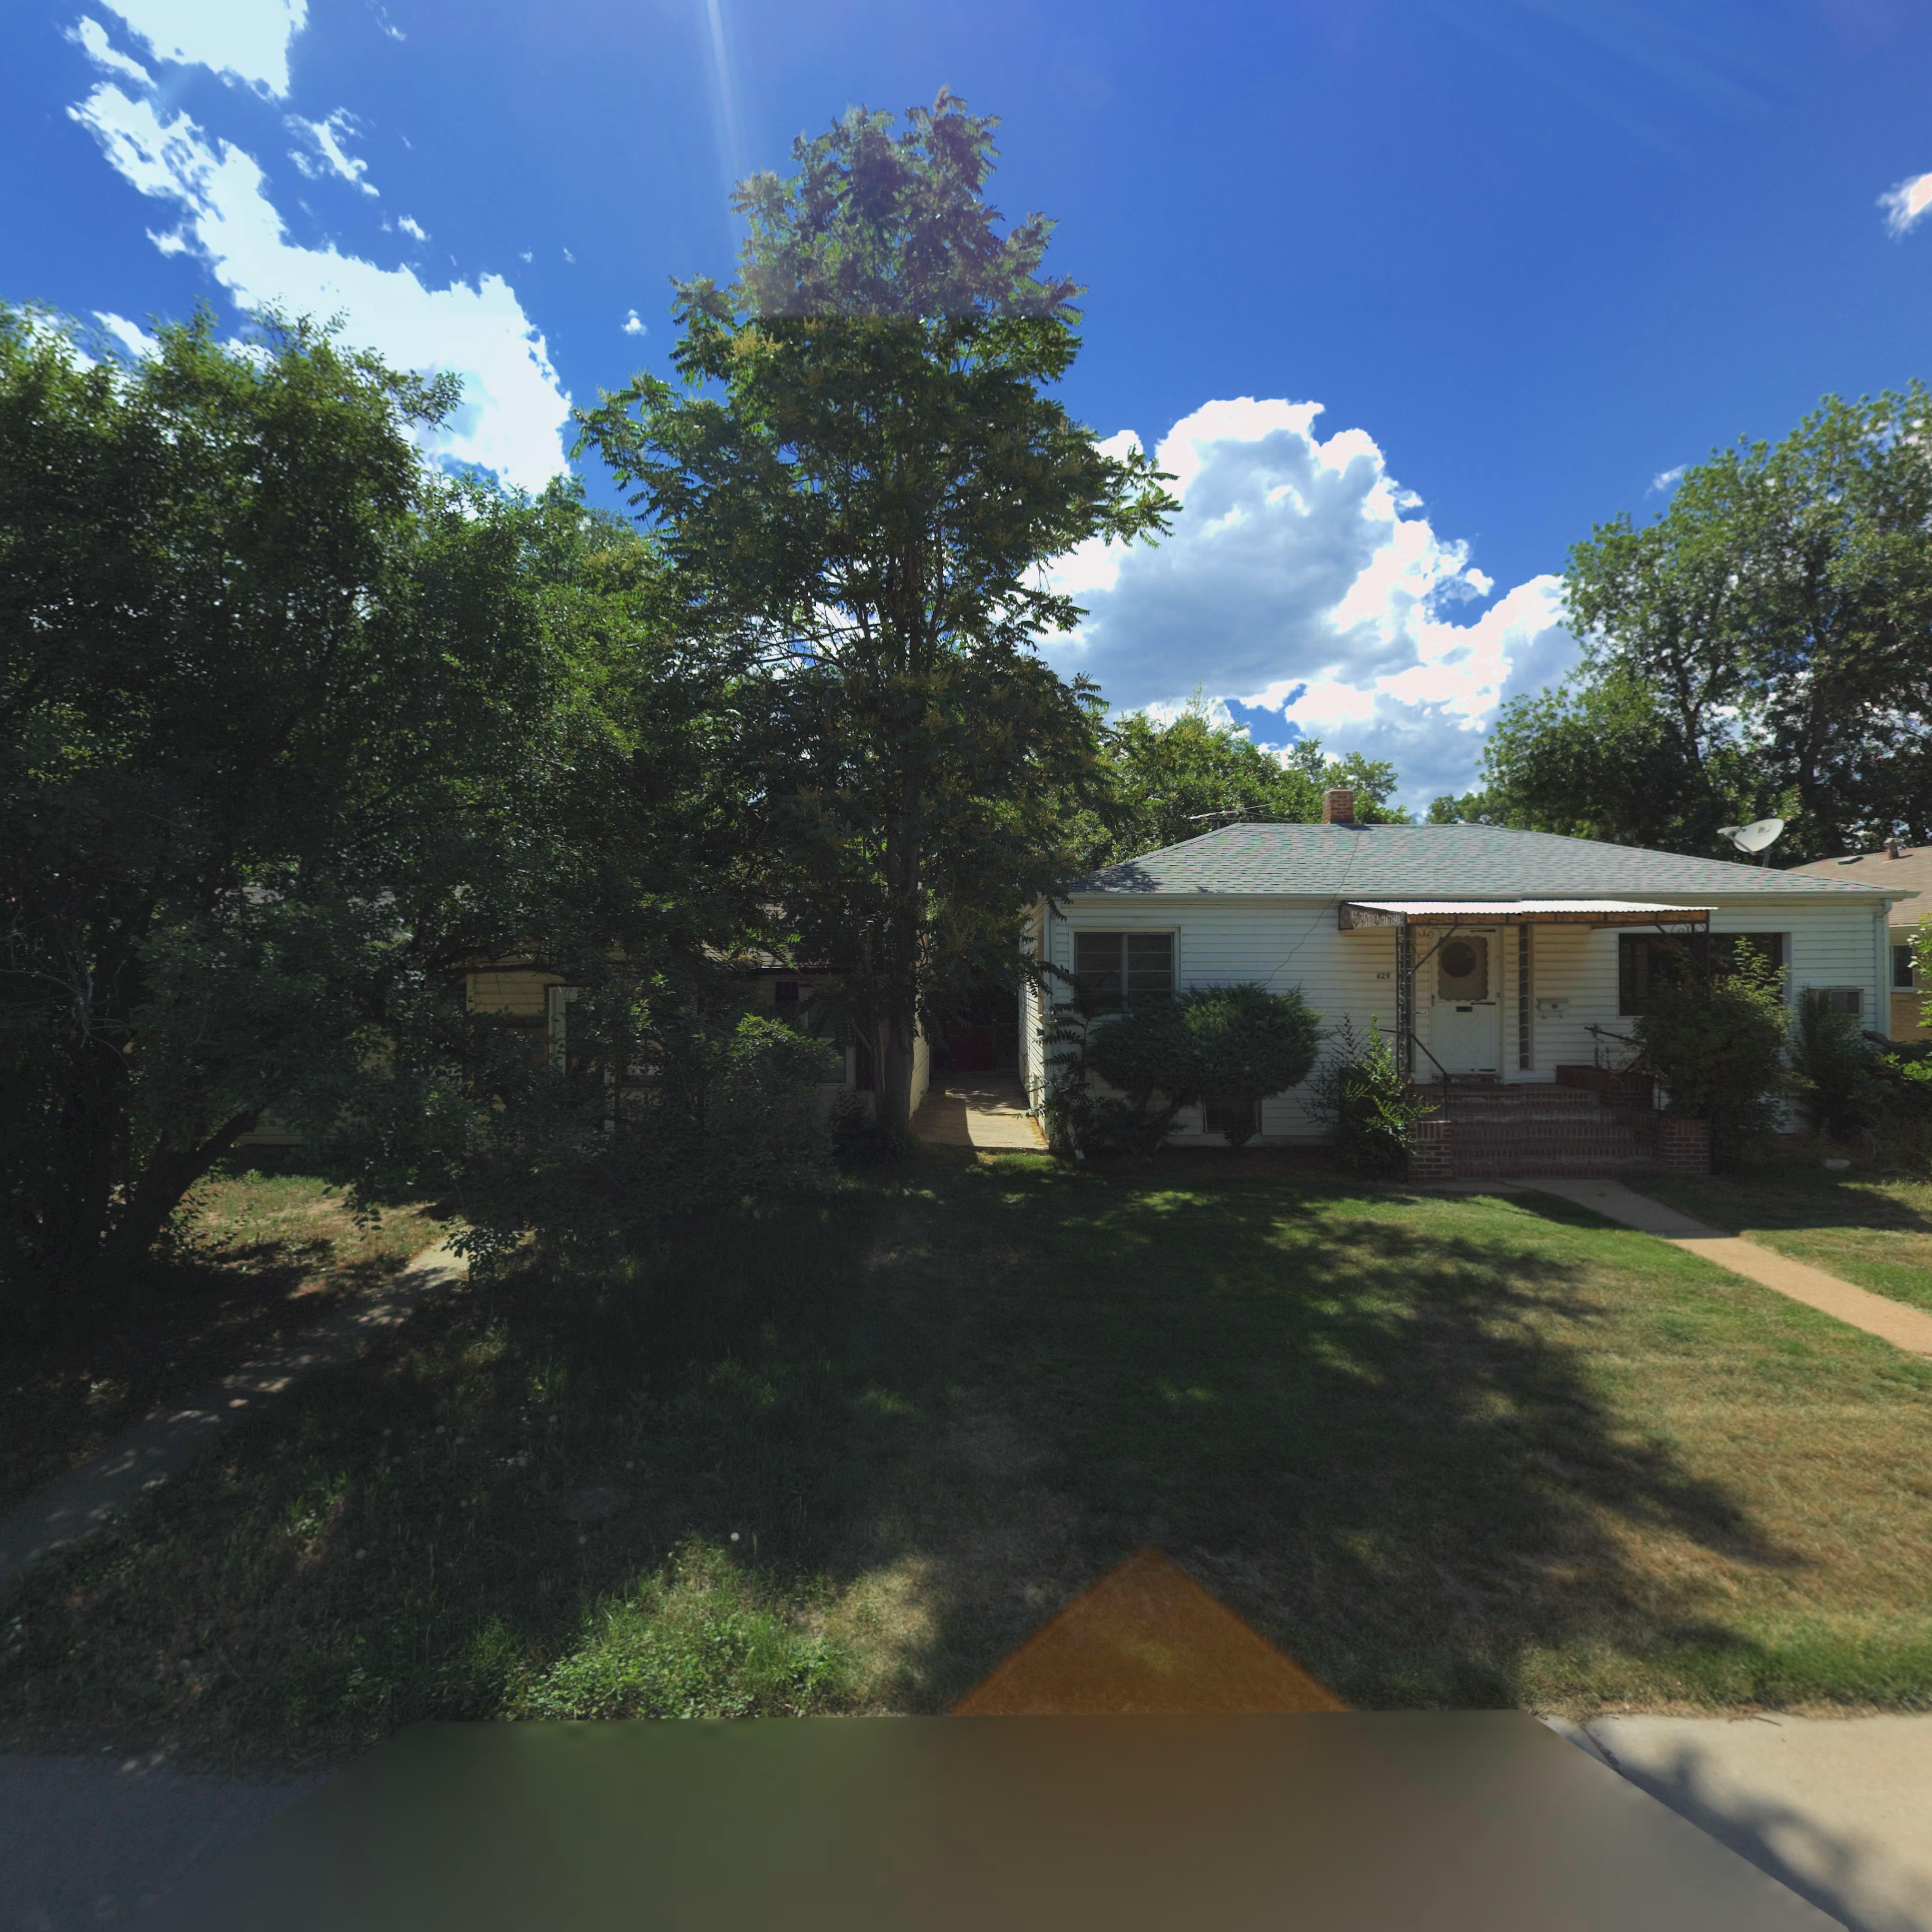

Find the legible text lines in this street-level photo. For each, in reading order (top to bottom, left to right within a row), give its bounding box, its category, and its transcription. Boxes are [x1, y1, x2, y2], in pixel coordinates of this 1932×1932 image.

[1375, 972, 1390, 979] StreetNumber: 429